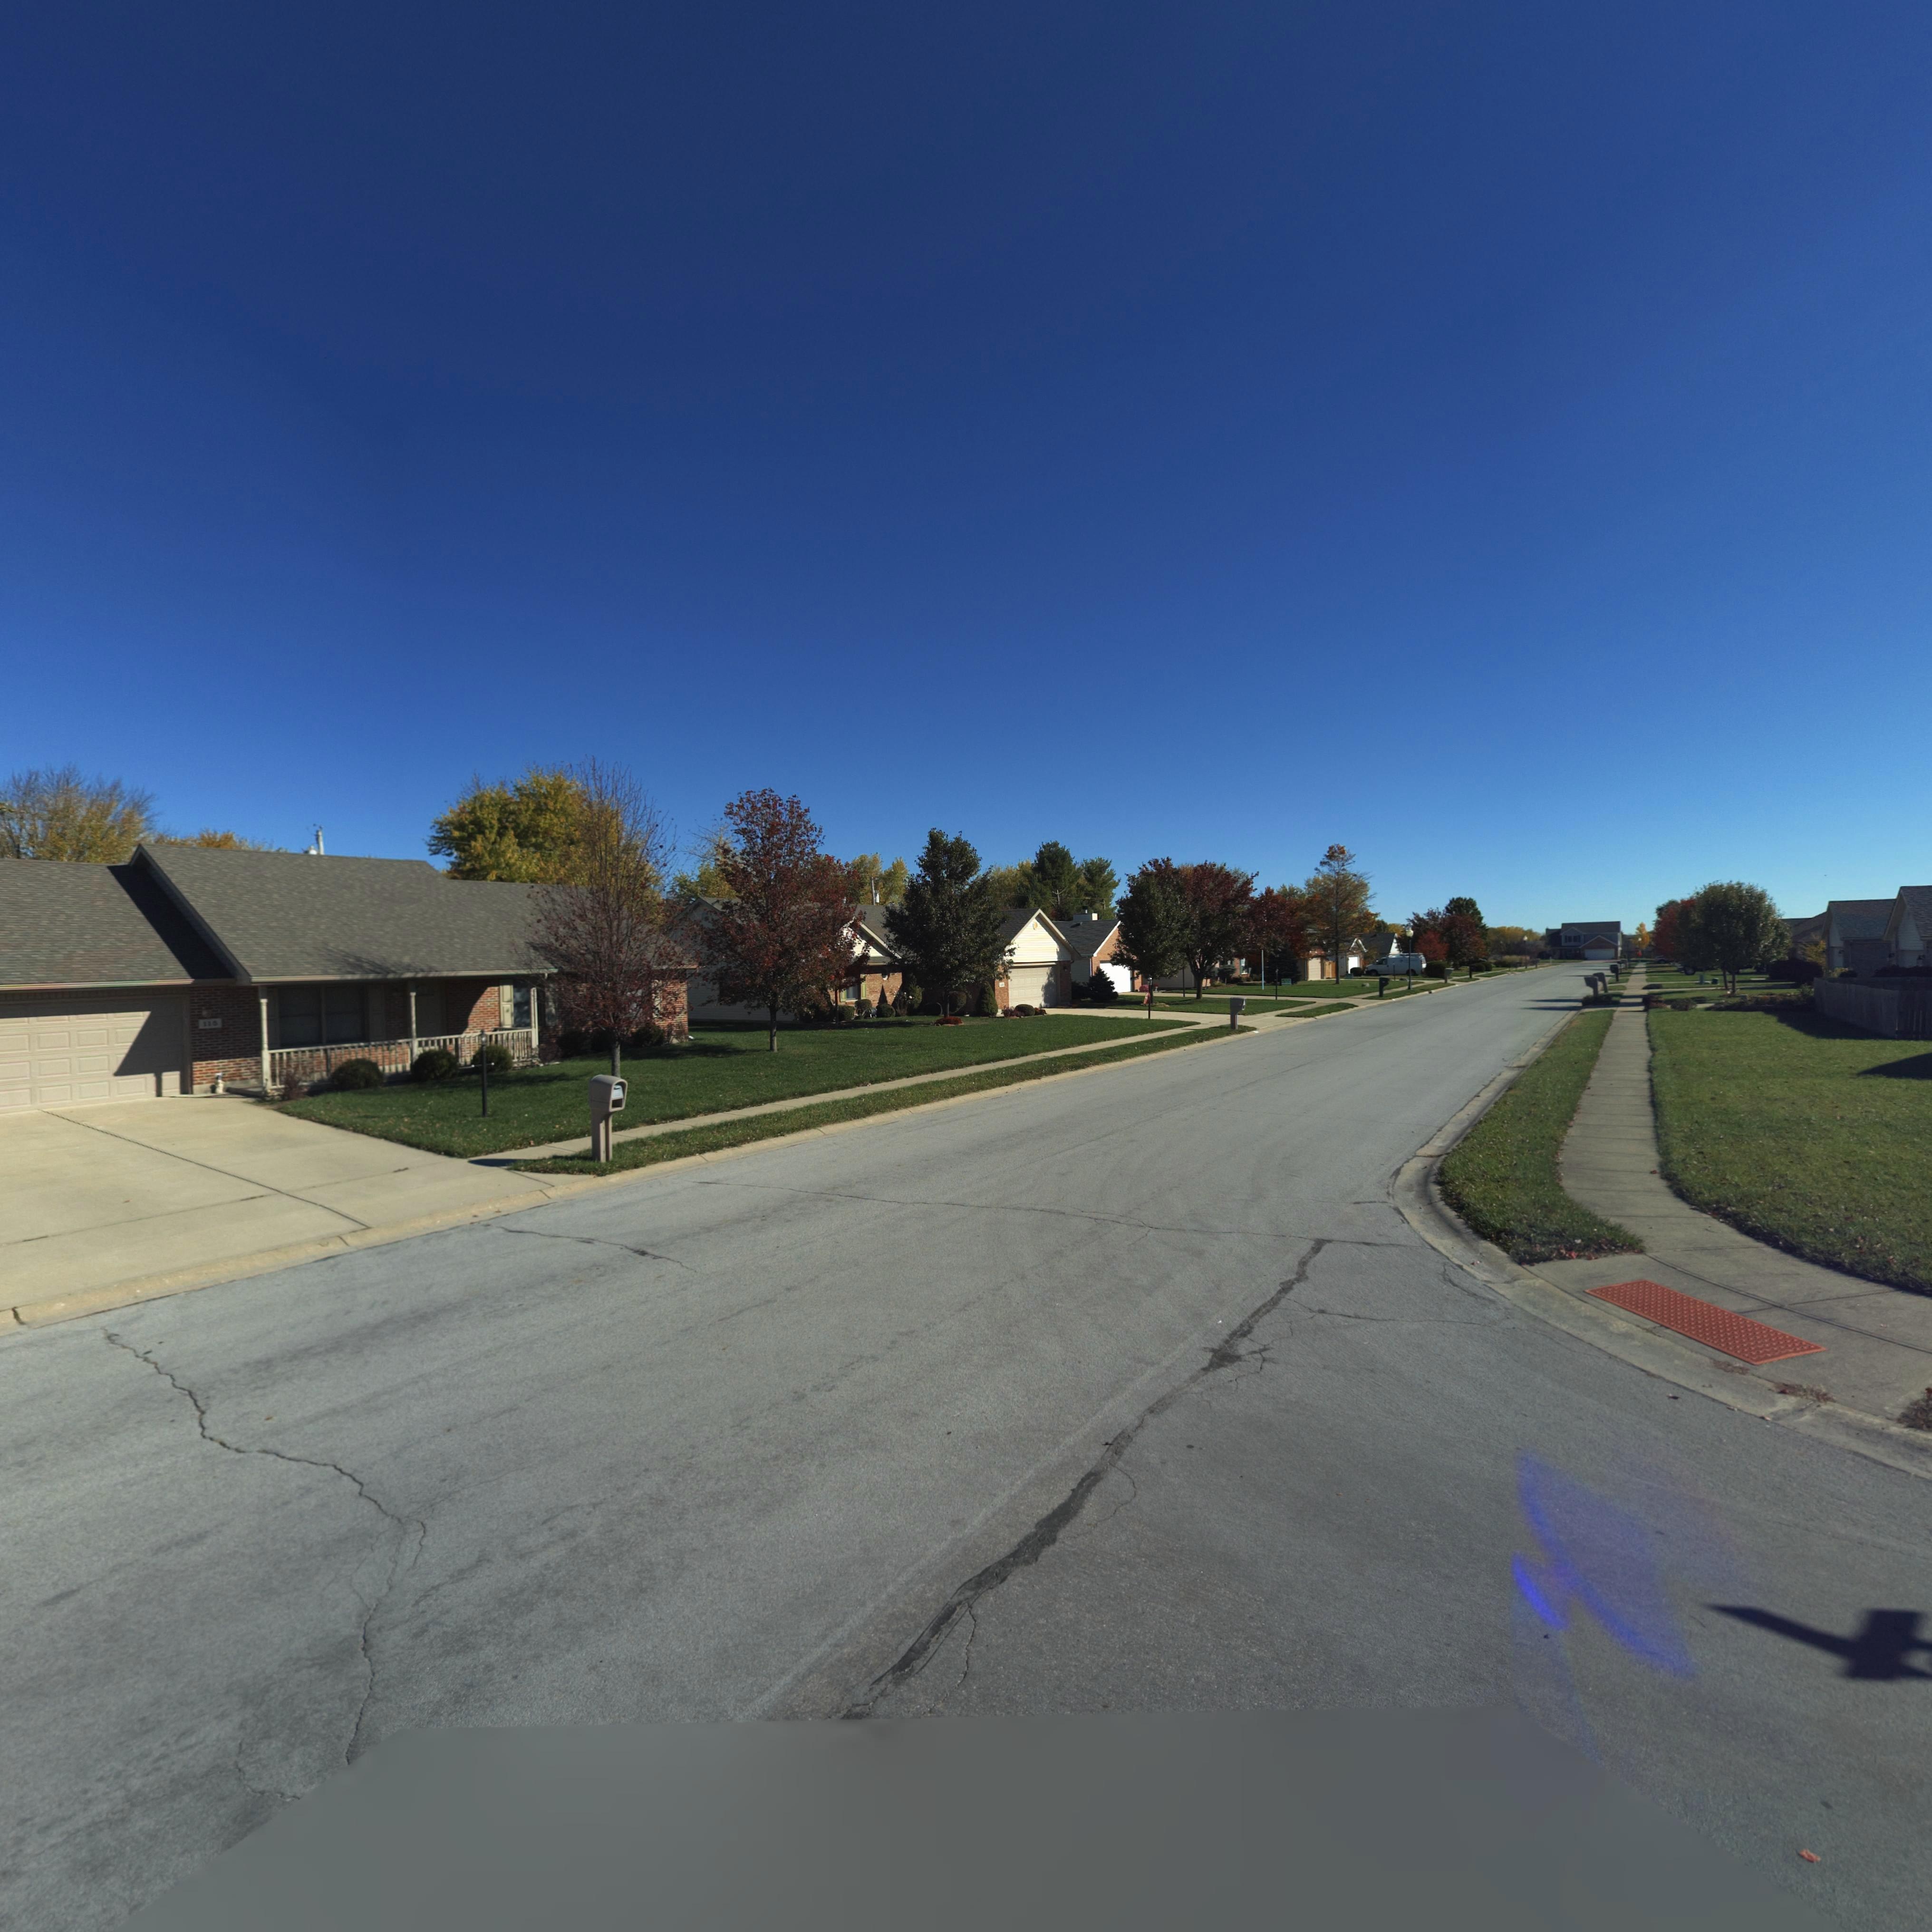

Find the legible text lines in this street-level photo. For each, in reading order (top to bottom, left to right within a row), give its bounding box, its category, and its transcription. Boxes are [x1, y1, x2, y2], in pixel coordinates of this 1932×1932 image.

[203, 1020, 218, 1027] StreetNumber: 115